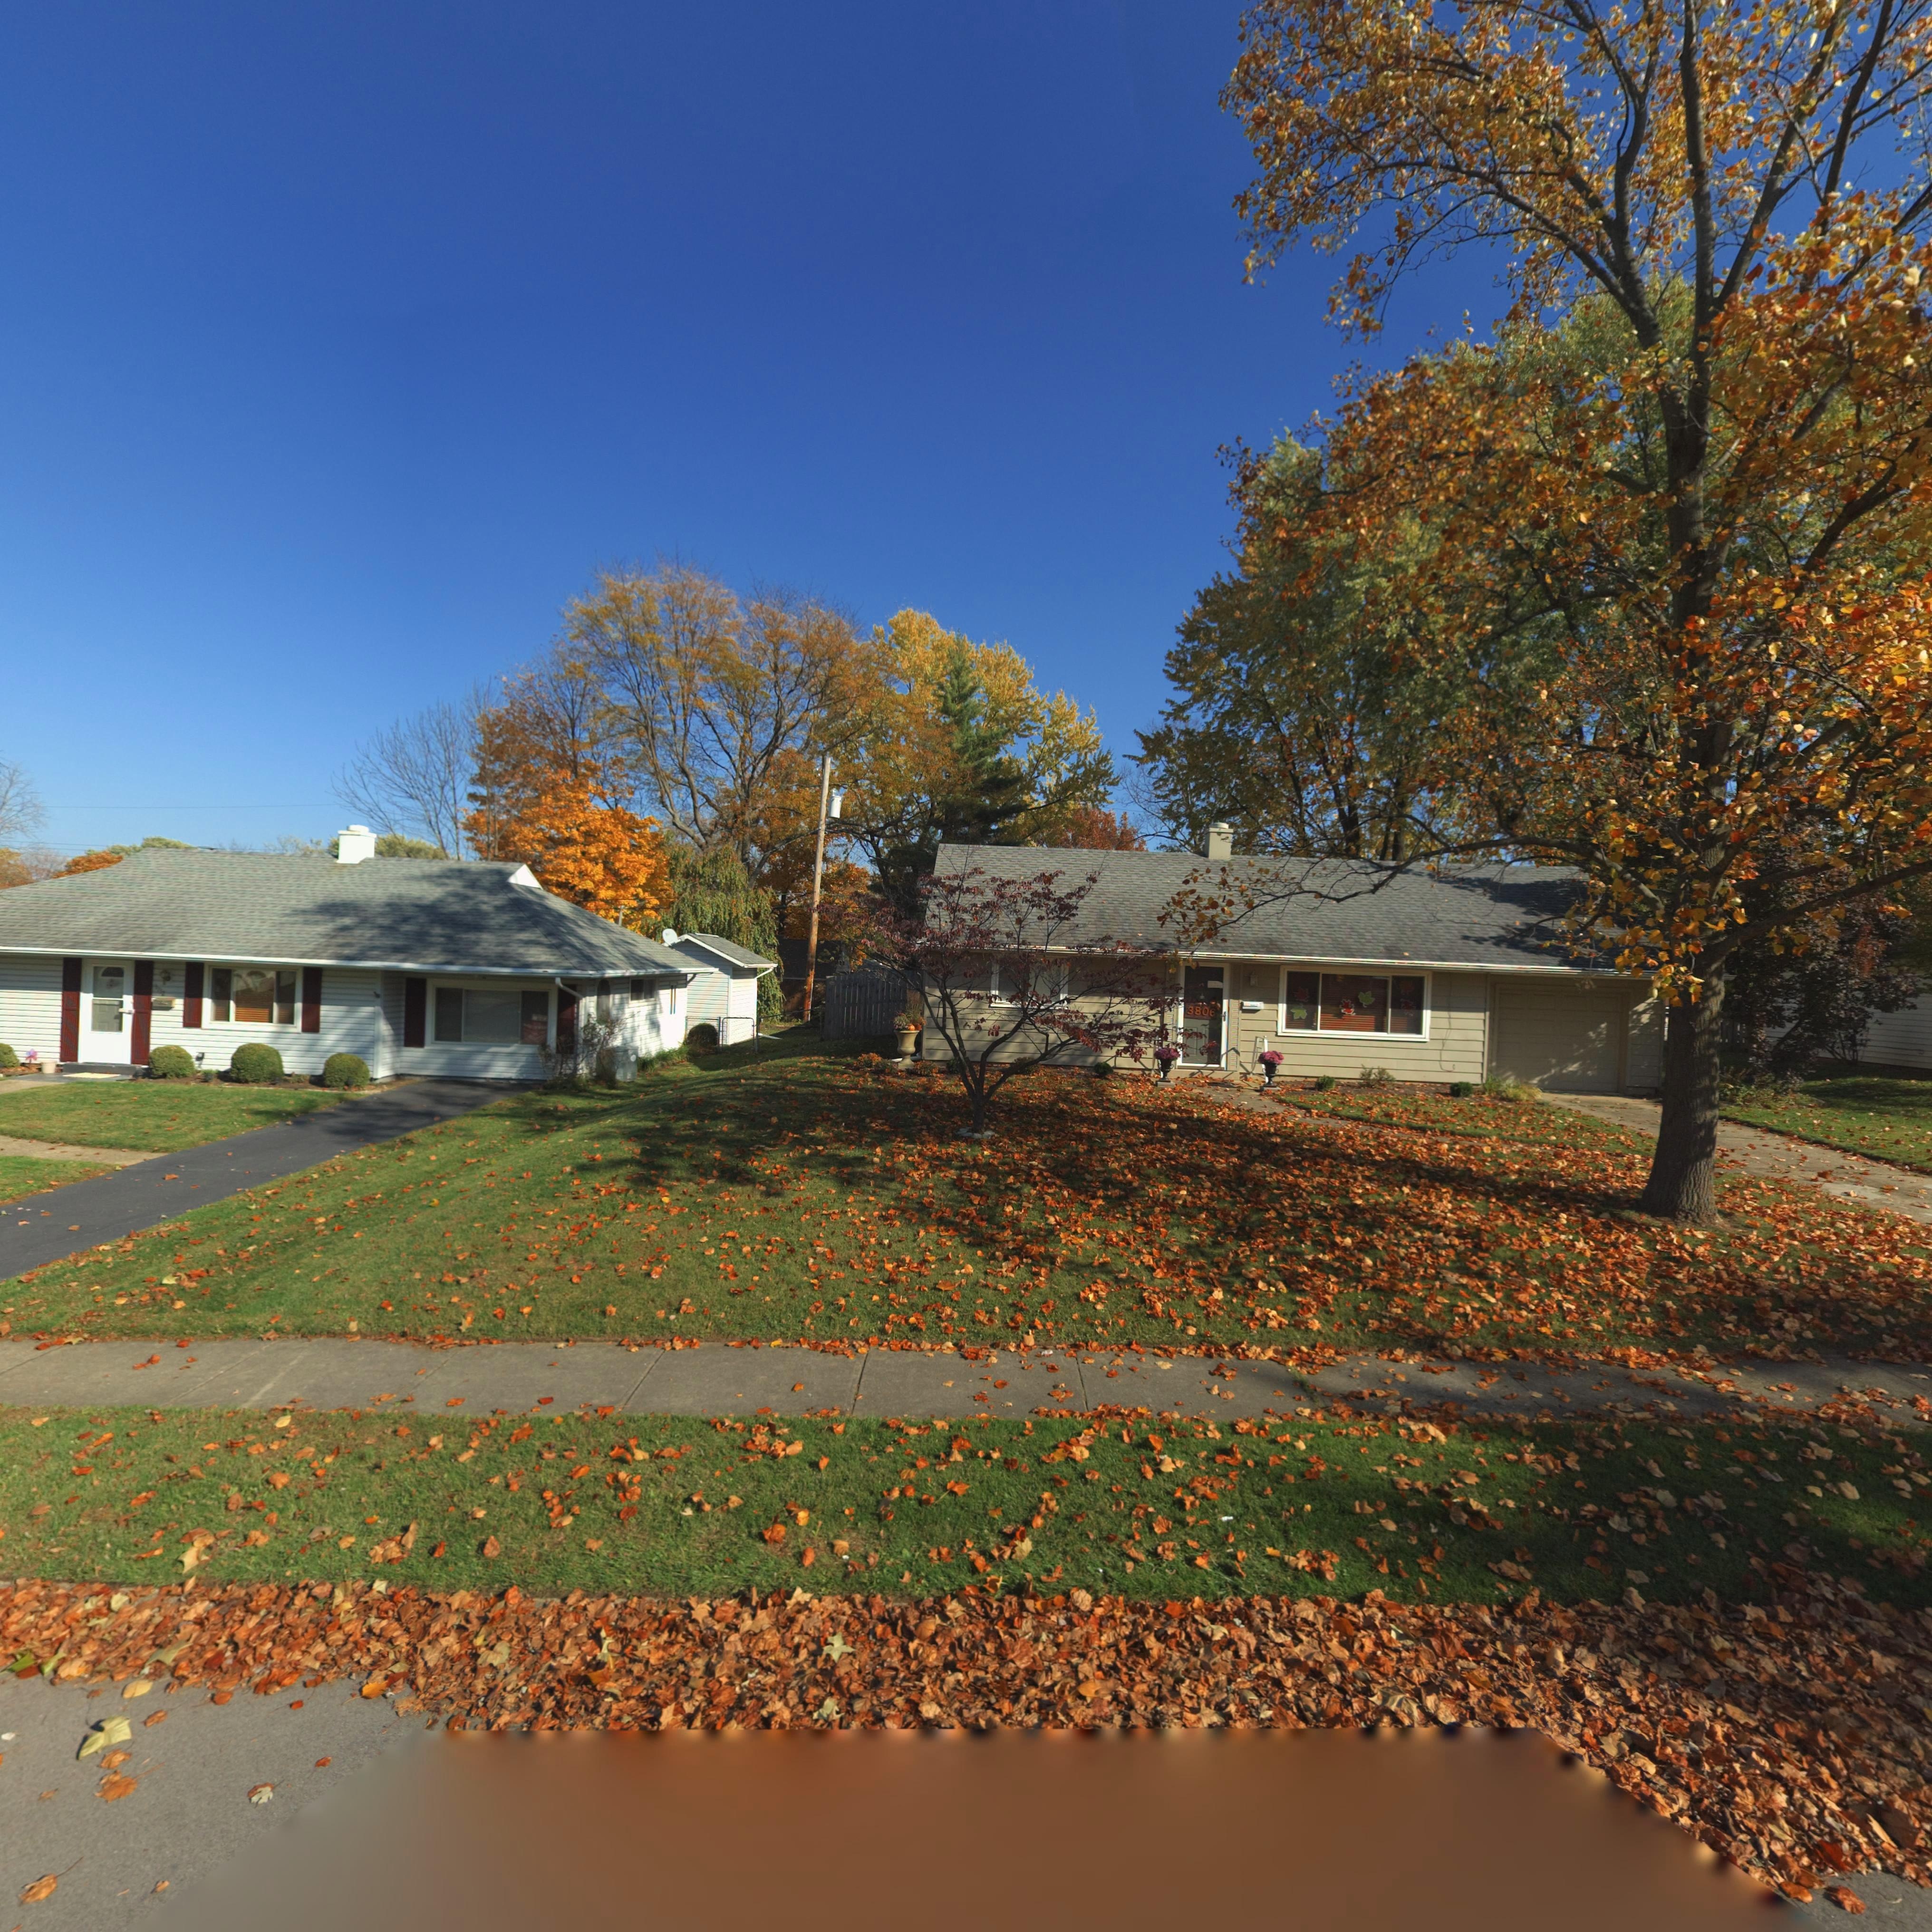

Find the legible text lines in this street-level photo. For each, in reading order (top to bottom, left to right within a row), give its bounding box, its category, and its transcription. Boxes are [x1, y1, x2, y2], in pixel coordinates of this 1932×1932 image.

[1187, 1005, 1217, 1018] StreetNumber: 3806